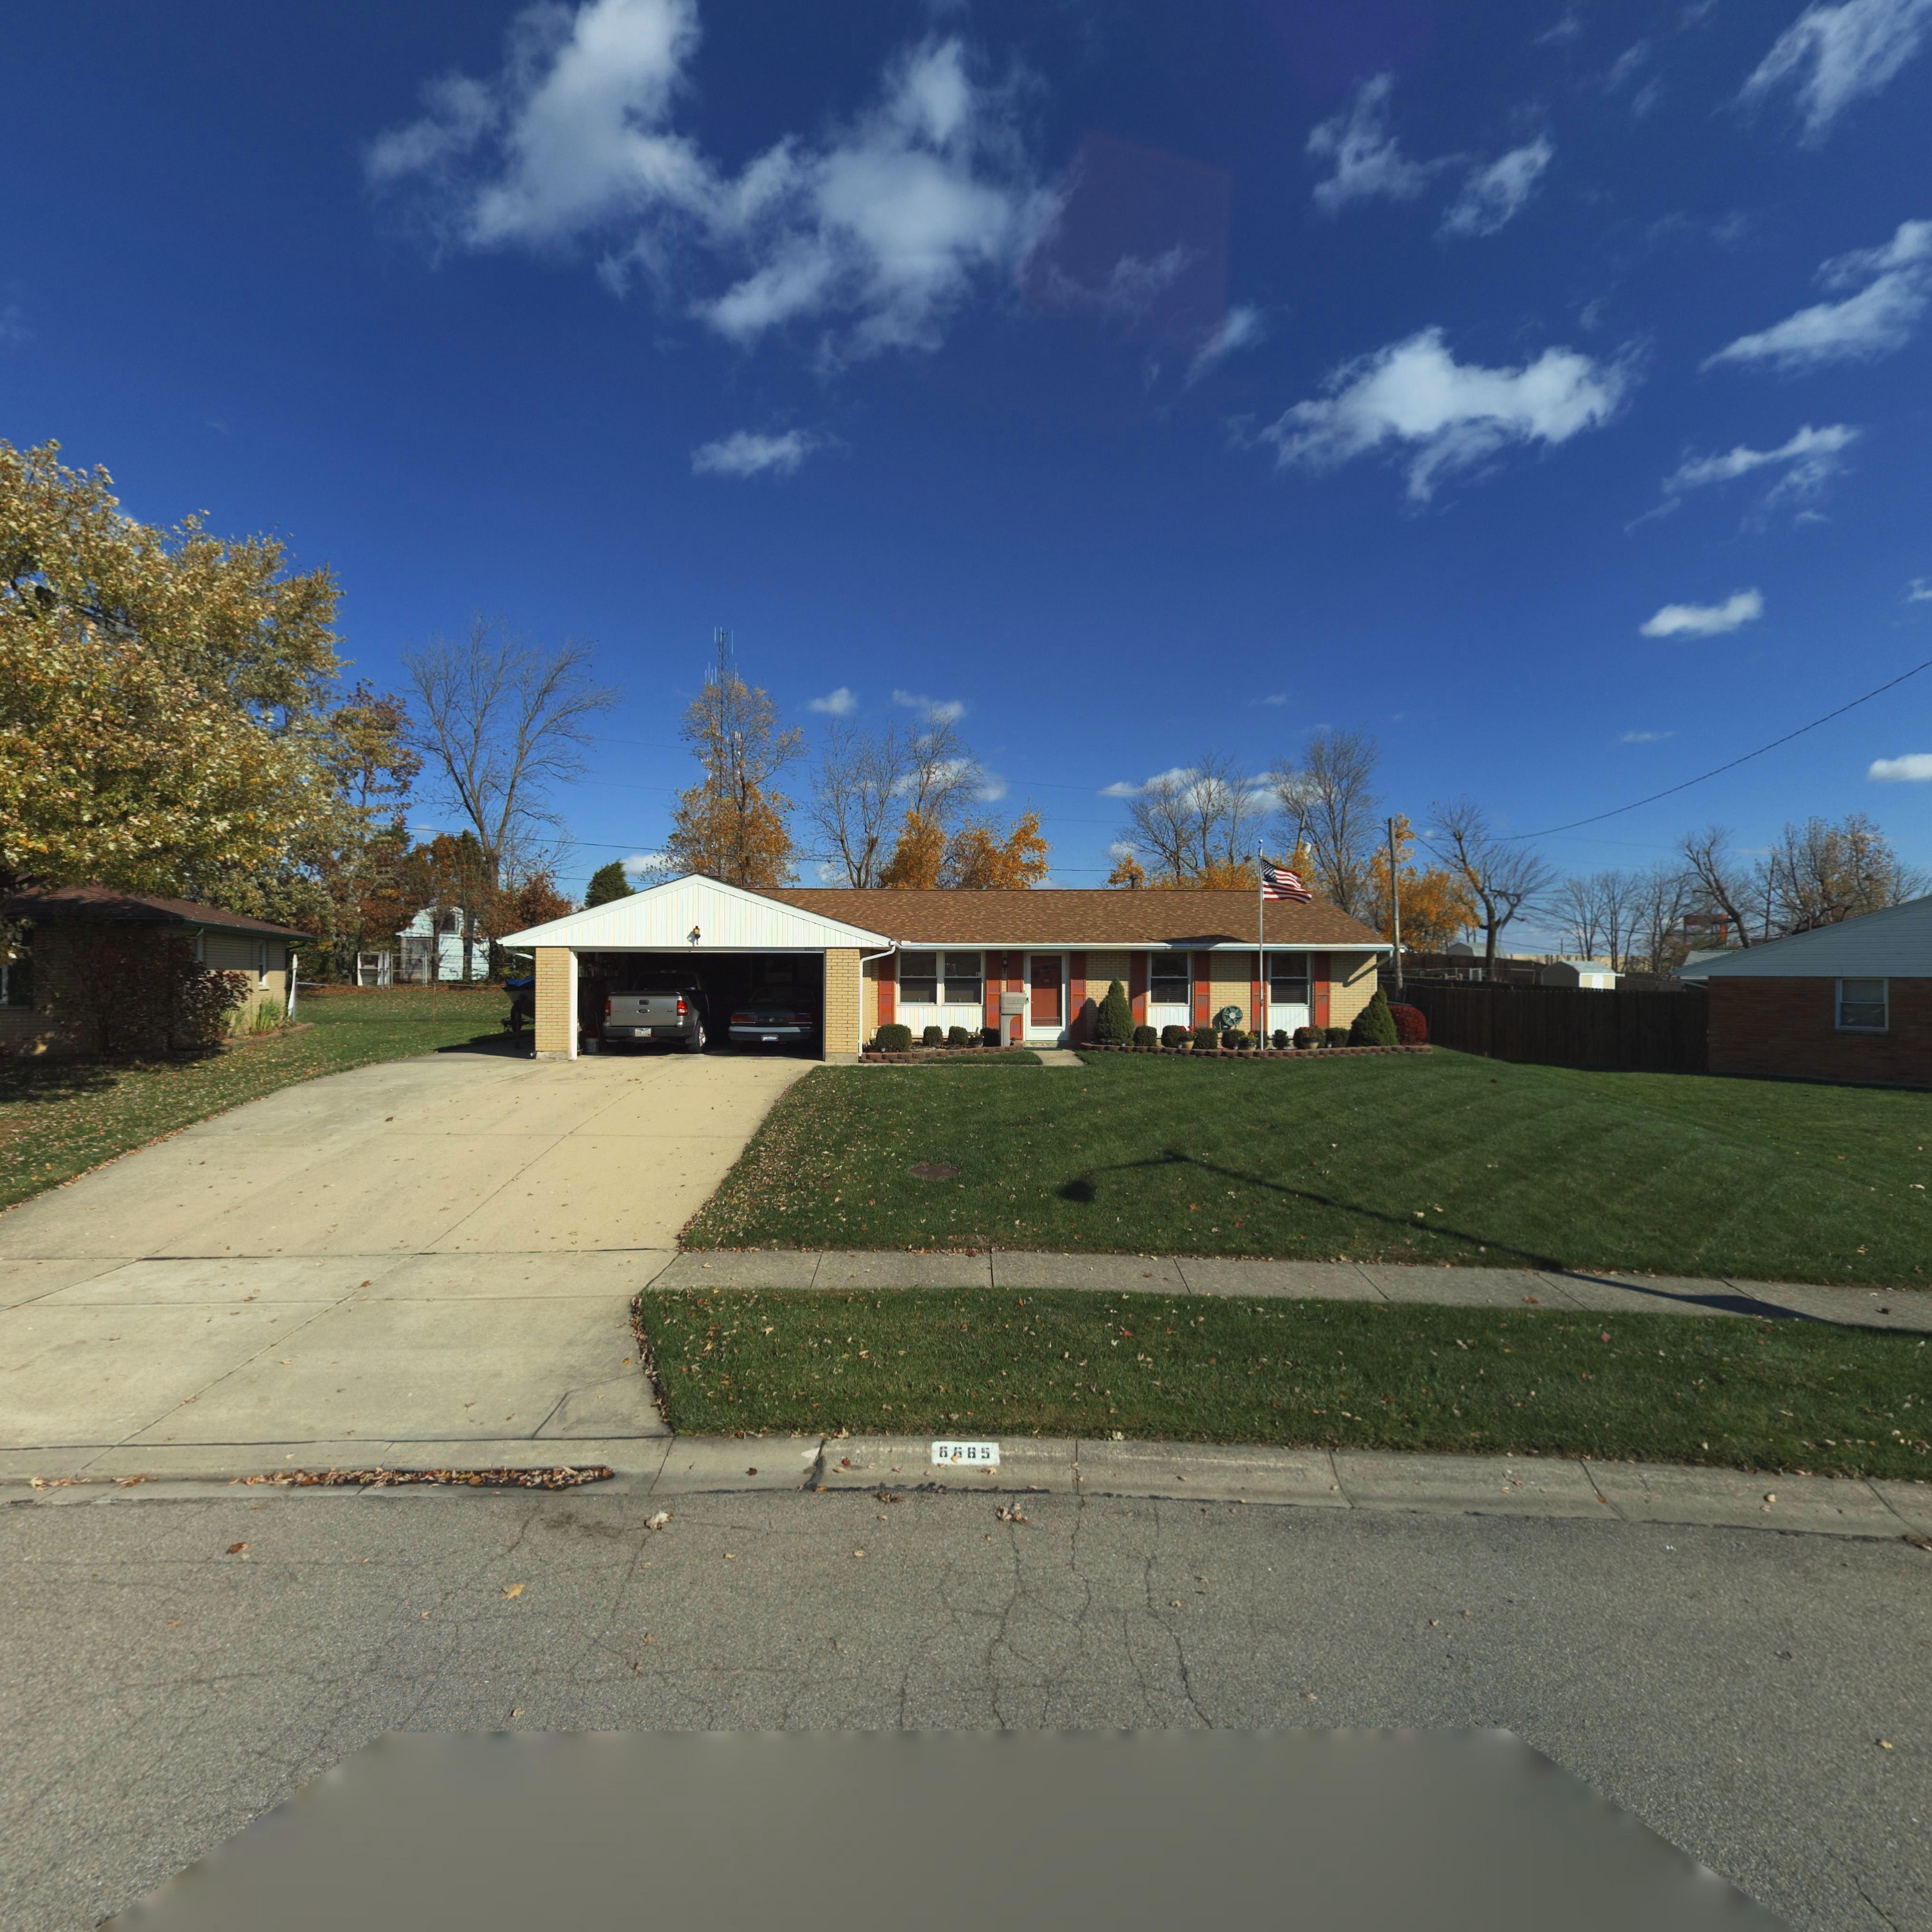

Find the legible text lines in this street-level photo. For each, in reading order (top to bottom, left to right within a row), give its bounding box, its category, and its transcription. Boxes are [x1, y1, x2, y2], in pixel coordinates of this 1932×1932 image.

[803, 947, 816, 951] StreetNumber: 6685
[1007, 997, 1021, 1004] StreetNumber: 6*85
[939, 1446, 990, 1459] StreetNumber: 6*85